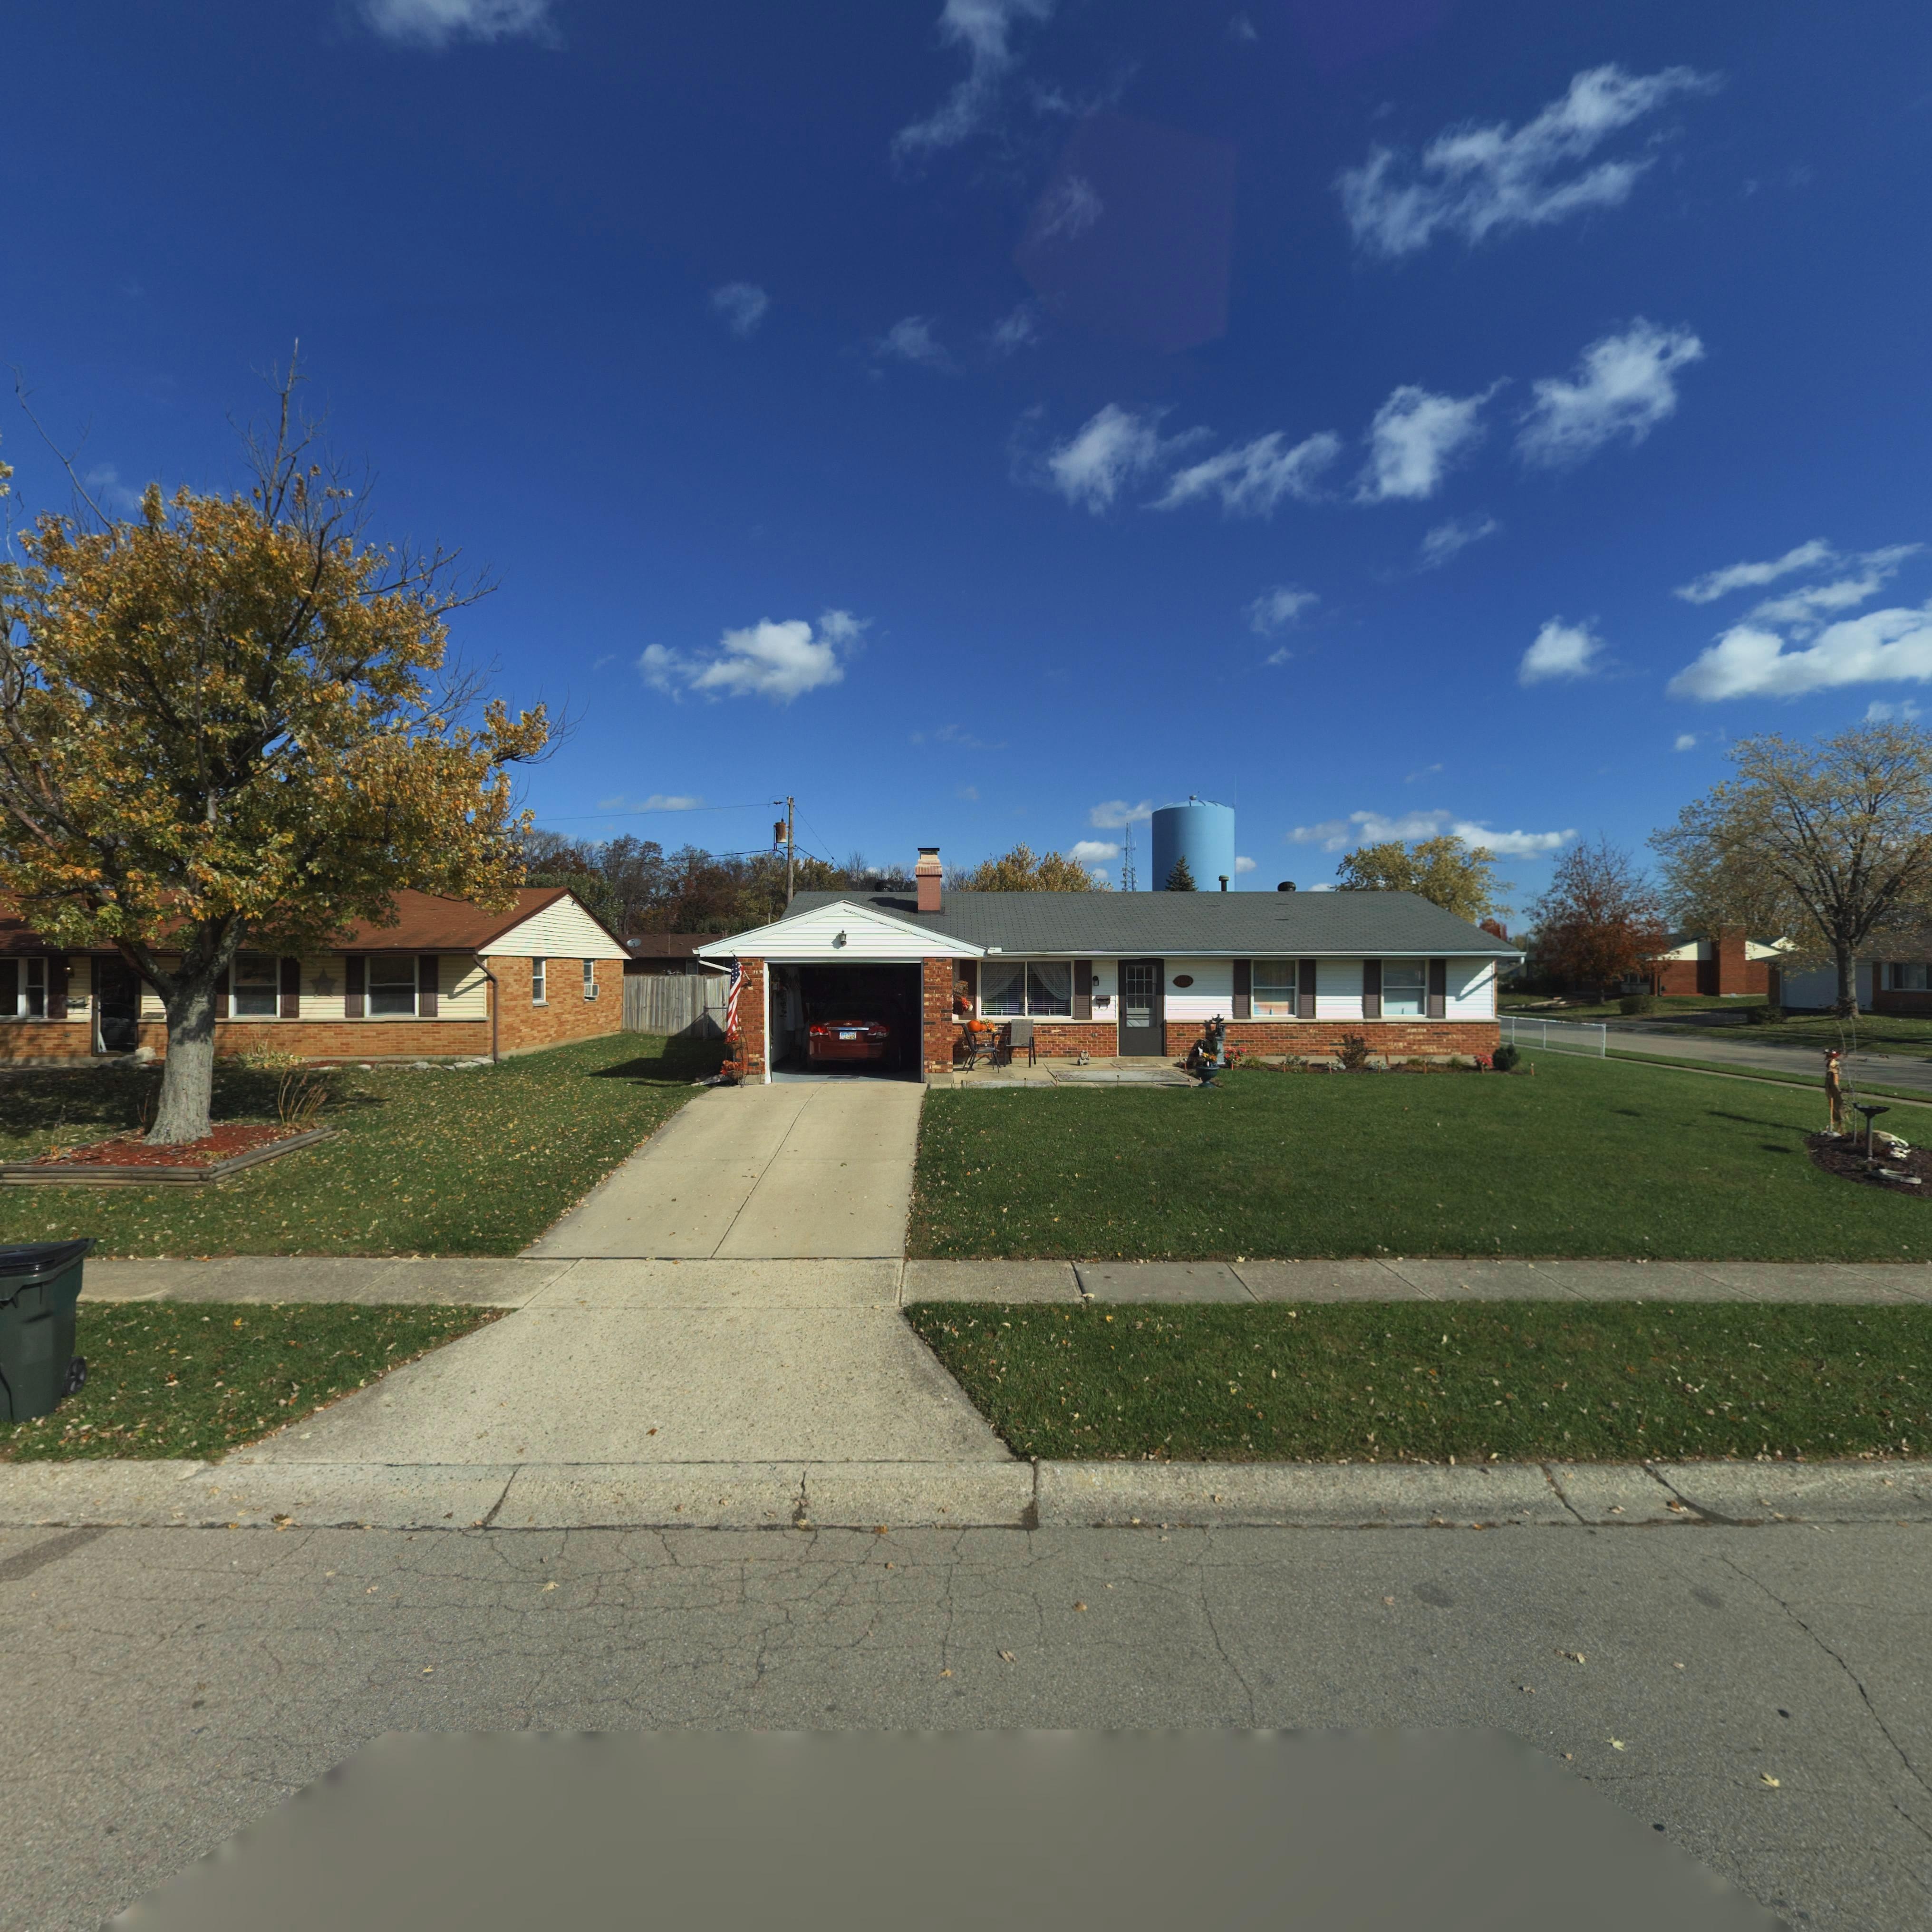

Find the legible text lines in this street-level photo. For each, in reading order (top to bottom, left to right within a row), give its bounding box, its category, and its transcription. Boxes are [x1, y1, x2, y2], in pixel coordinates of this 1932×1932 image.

[1176, 977, 1192, 985] StreetNumber: 7821